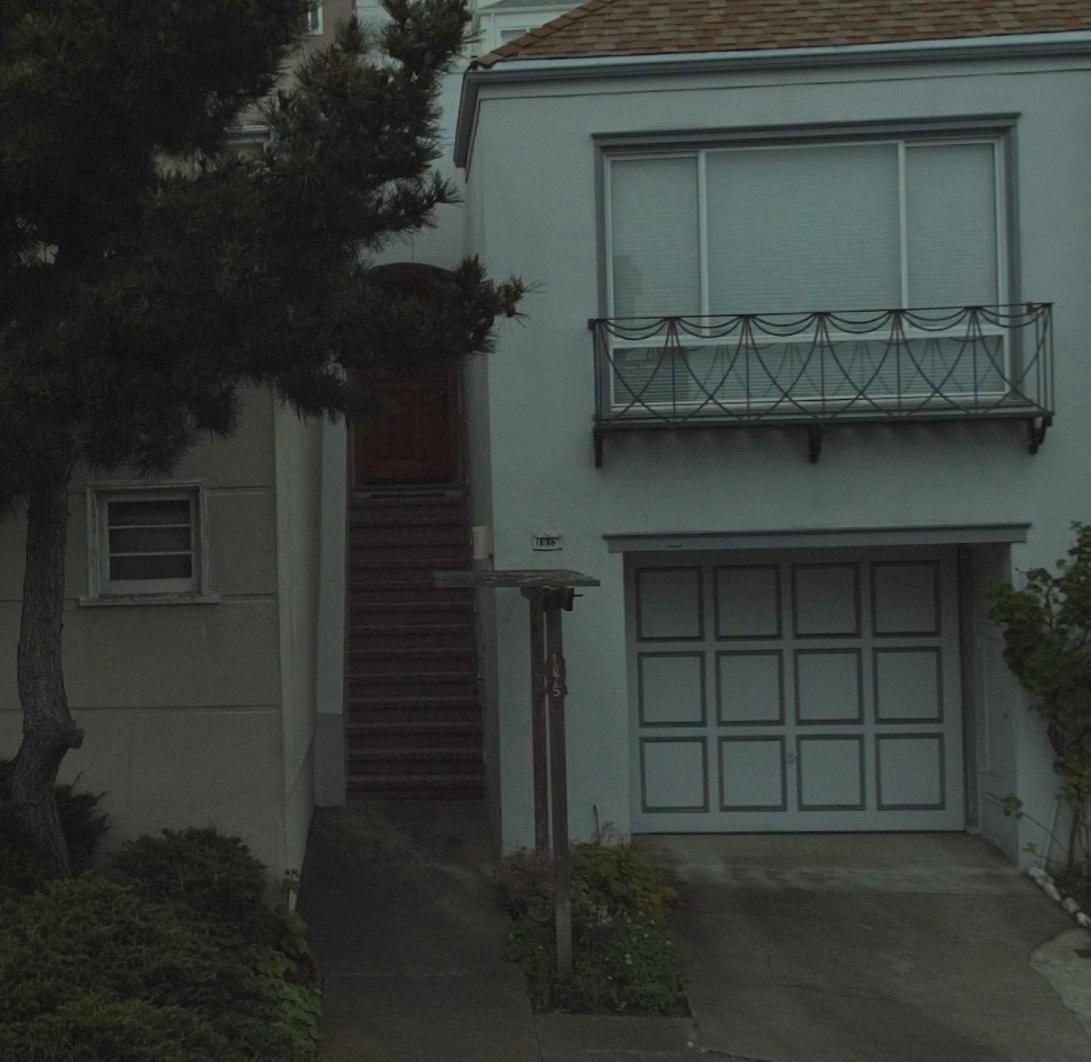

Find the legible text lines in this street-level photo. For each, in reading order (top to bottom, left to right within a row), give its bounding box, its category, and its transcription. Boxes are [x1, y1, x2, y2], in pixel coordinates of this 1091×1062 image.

[536, 537, 560, 547] StreetNumber: 1075
[551, 652, 561, 698] StreetNumber: 1075